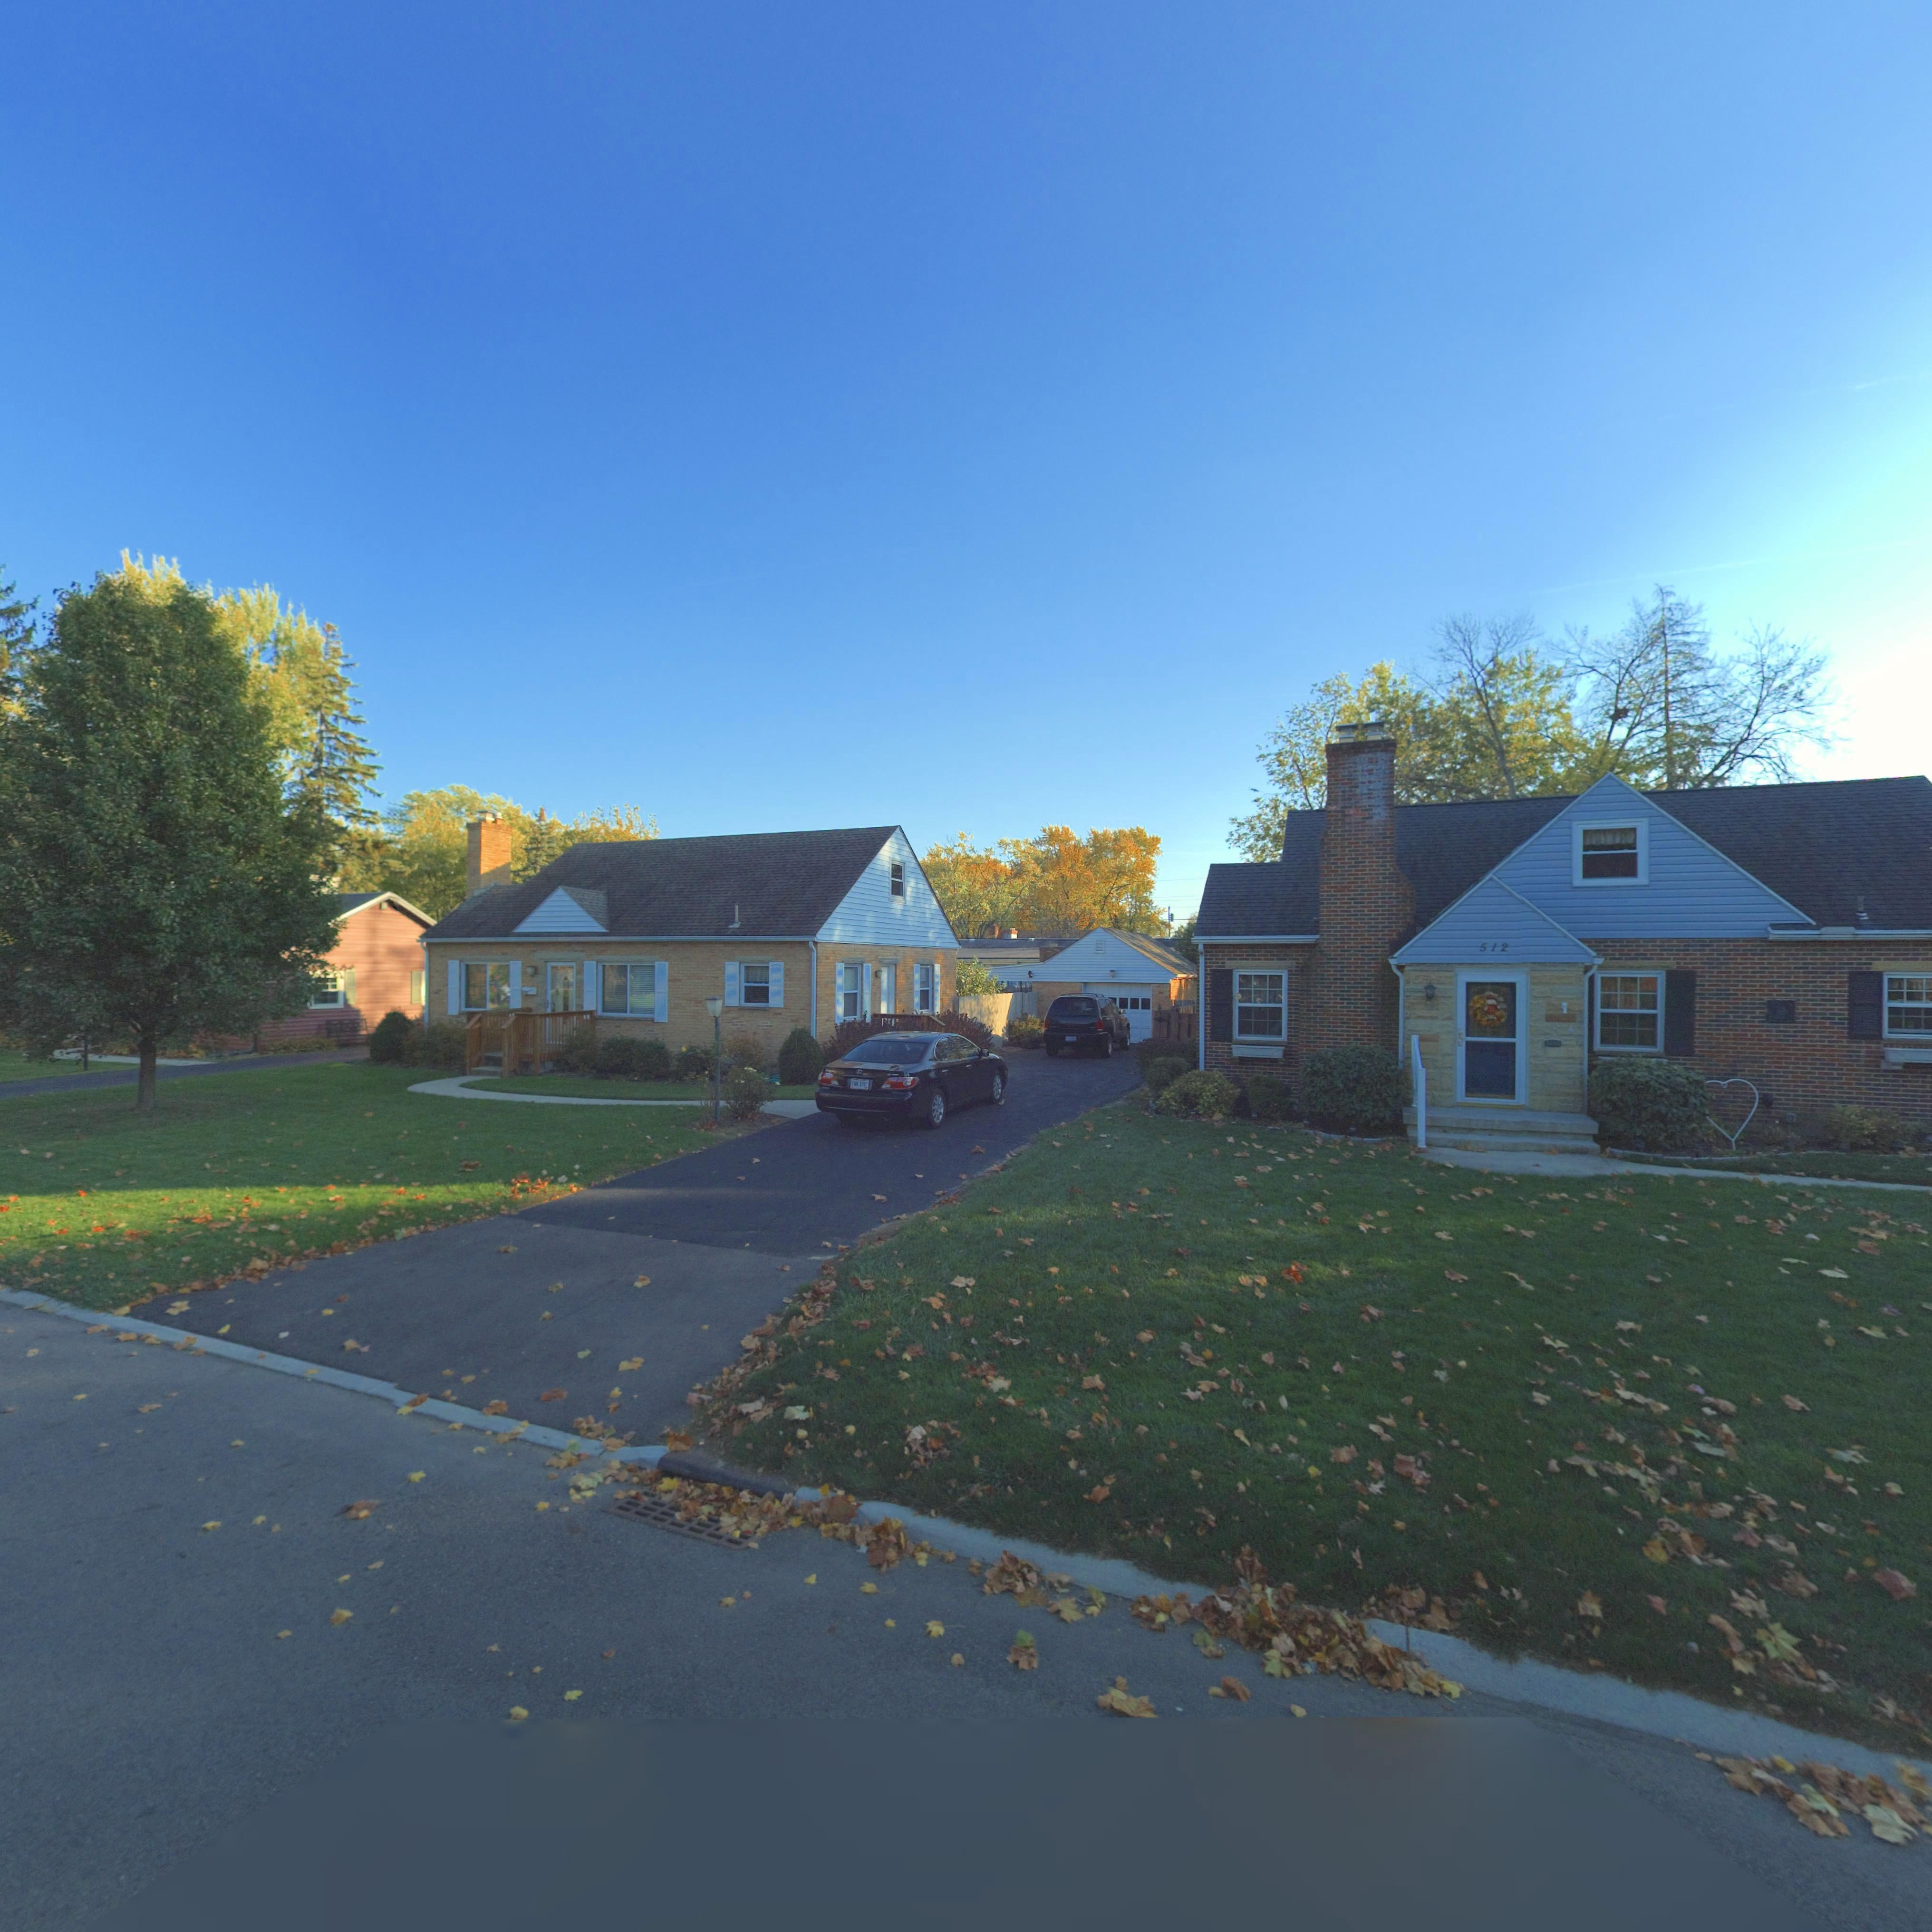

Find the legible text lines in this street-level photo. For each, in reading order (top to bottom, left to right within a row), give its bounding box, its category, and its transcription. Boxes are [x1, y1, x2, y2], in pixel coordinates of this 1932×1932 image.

[1478, 942, 1509, 953] StreetNumber: 512